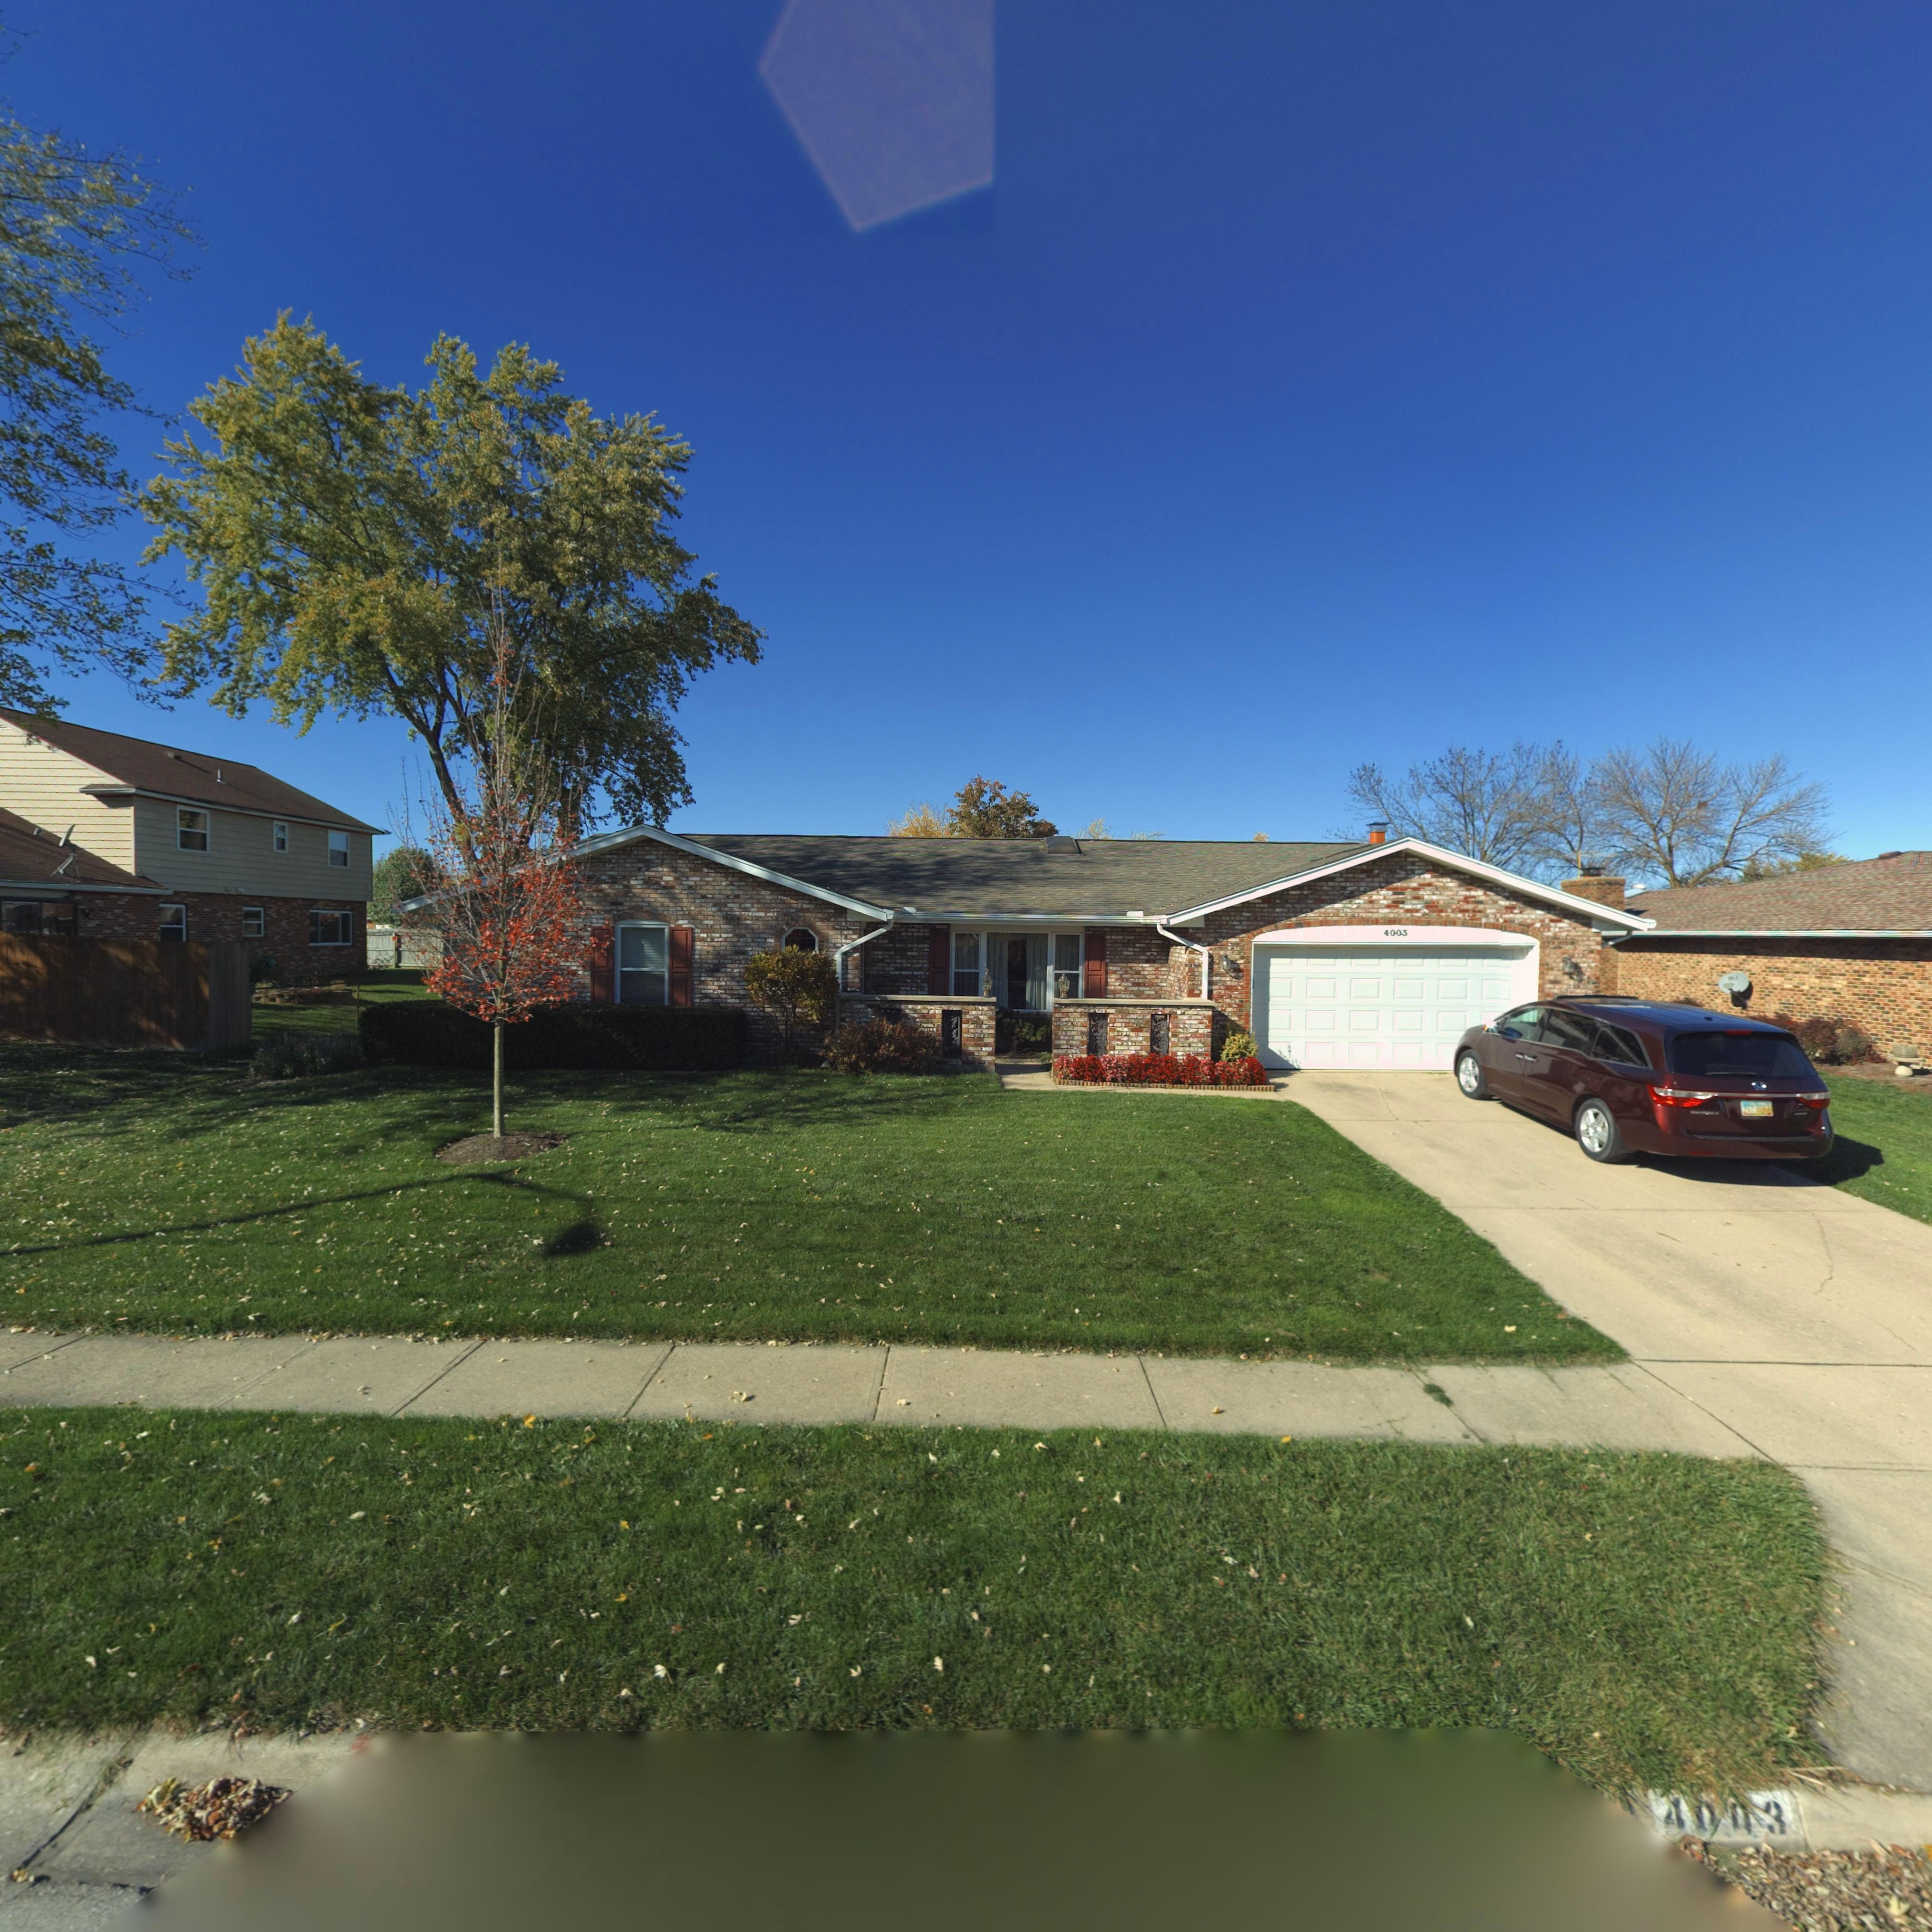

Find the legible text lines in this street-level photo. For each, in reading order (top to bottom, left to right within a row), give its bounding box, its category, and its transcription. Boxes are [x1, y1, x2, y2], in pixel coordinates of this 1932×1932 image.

[1383, 929, 1408, 937] StreetNumber: 4003
[1661, 1796, 1791, 1838] StreetNumber: 4003